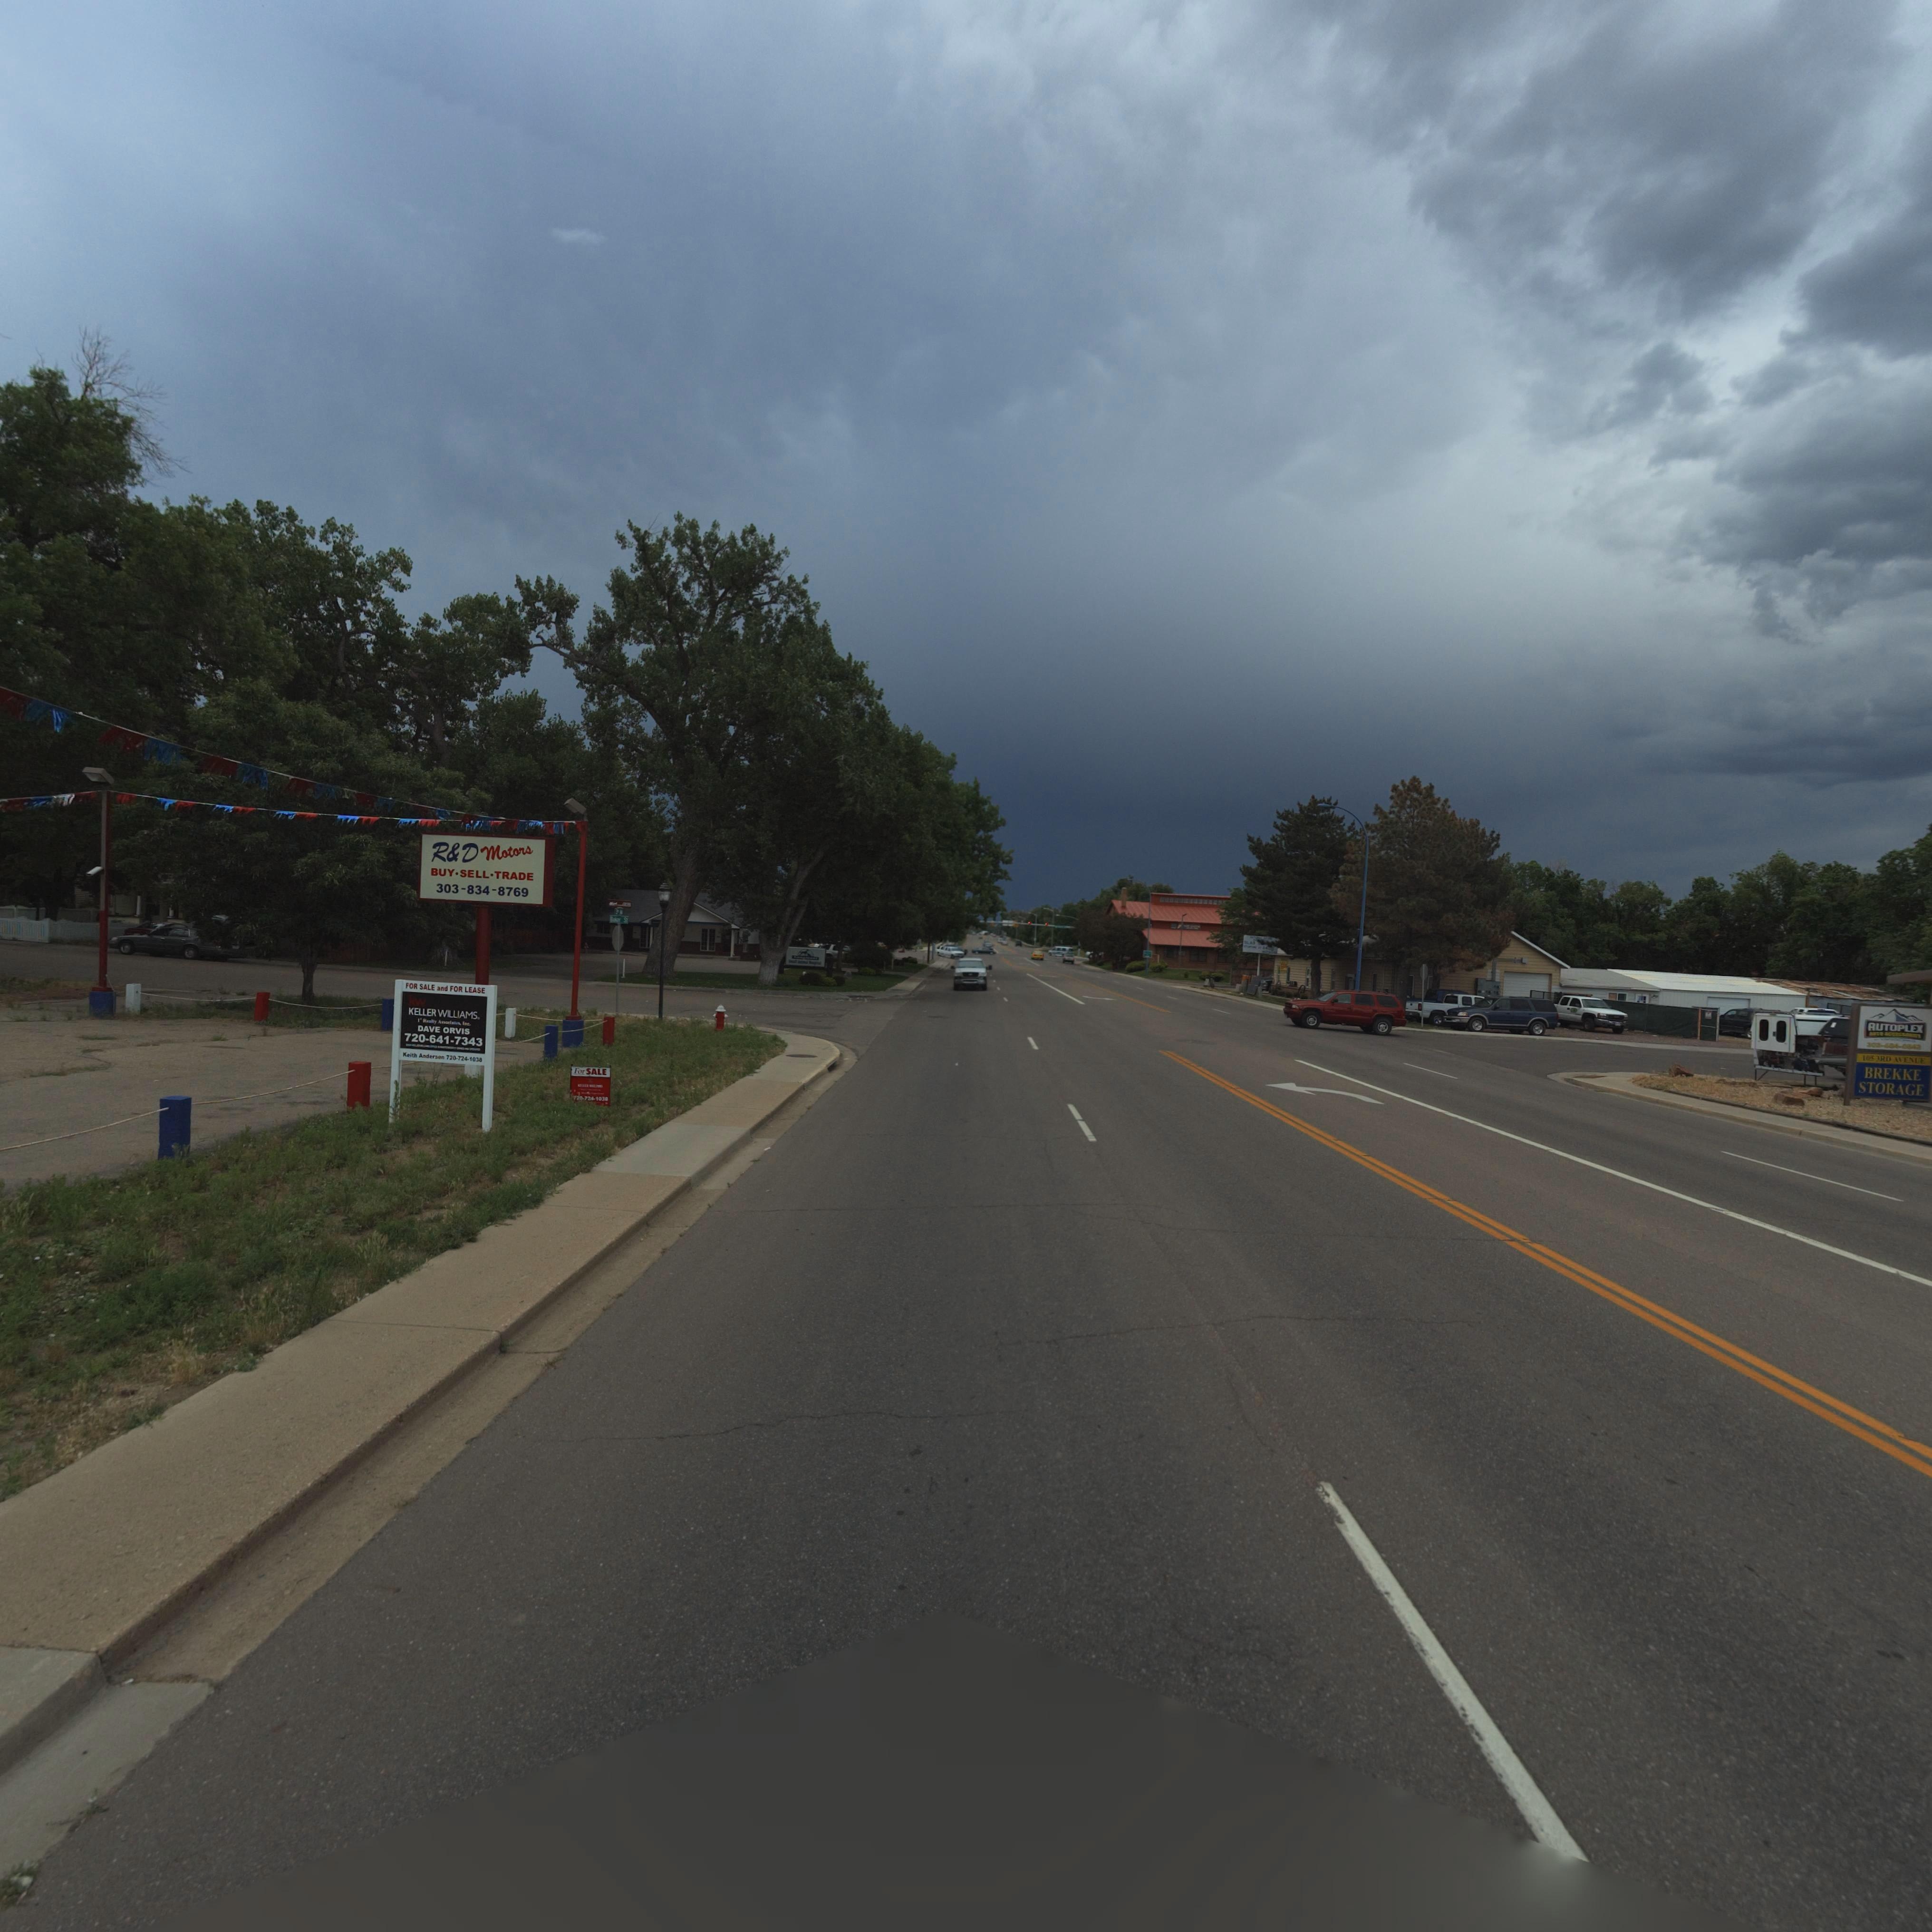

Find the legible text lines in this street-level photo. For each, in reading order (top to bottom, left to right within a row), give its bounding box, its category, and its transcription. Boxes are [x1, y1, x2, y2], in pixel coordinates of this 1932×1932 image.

[431, 840, 479, 863] BusinessName: R&D
[480, 844, 534, 861] BusinessName: Motors
[615, 909, 623, 914] StreetName: 3rd Av
[609, 916, 628, 923] StreetName: Baker St
[789, 959, 821, 966] BusinessName: Small Animal Hospital
[793, 955, 817, 960] BusinessName: Longmont
[1867, 1022, 1923, 1034] BusinessName: AUTOPLEX
[1869, 1031, 1922, 1039] BusinessName: AUTO ACCESSORIES
[1862, 1054, 1925, 1064] StreetNumber: 105 3RD AVENUE
[1864, 1066, 1922, 1082] BusinessName: BREKKE
[1857, 1081, 1924, 1097] BusinessName: STORAGE